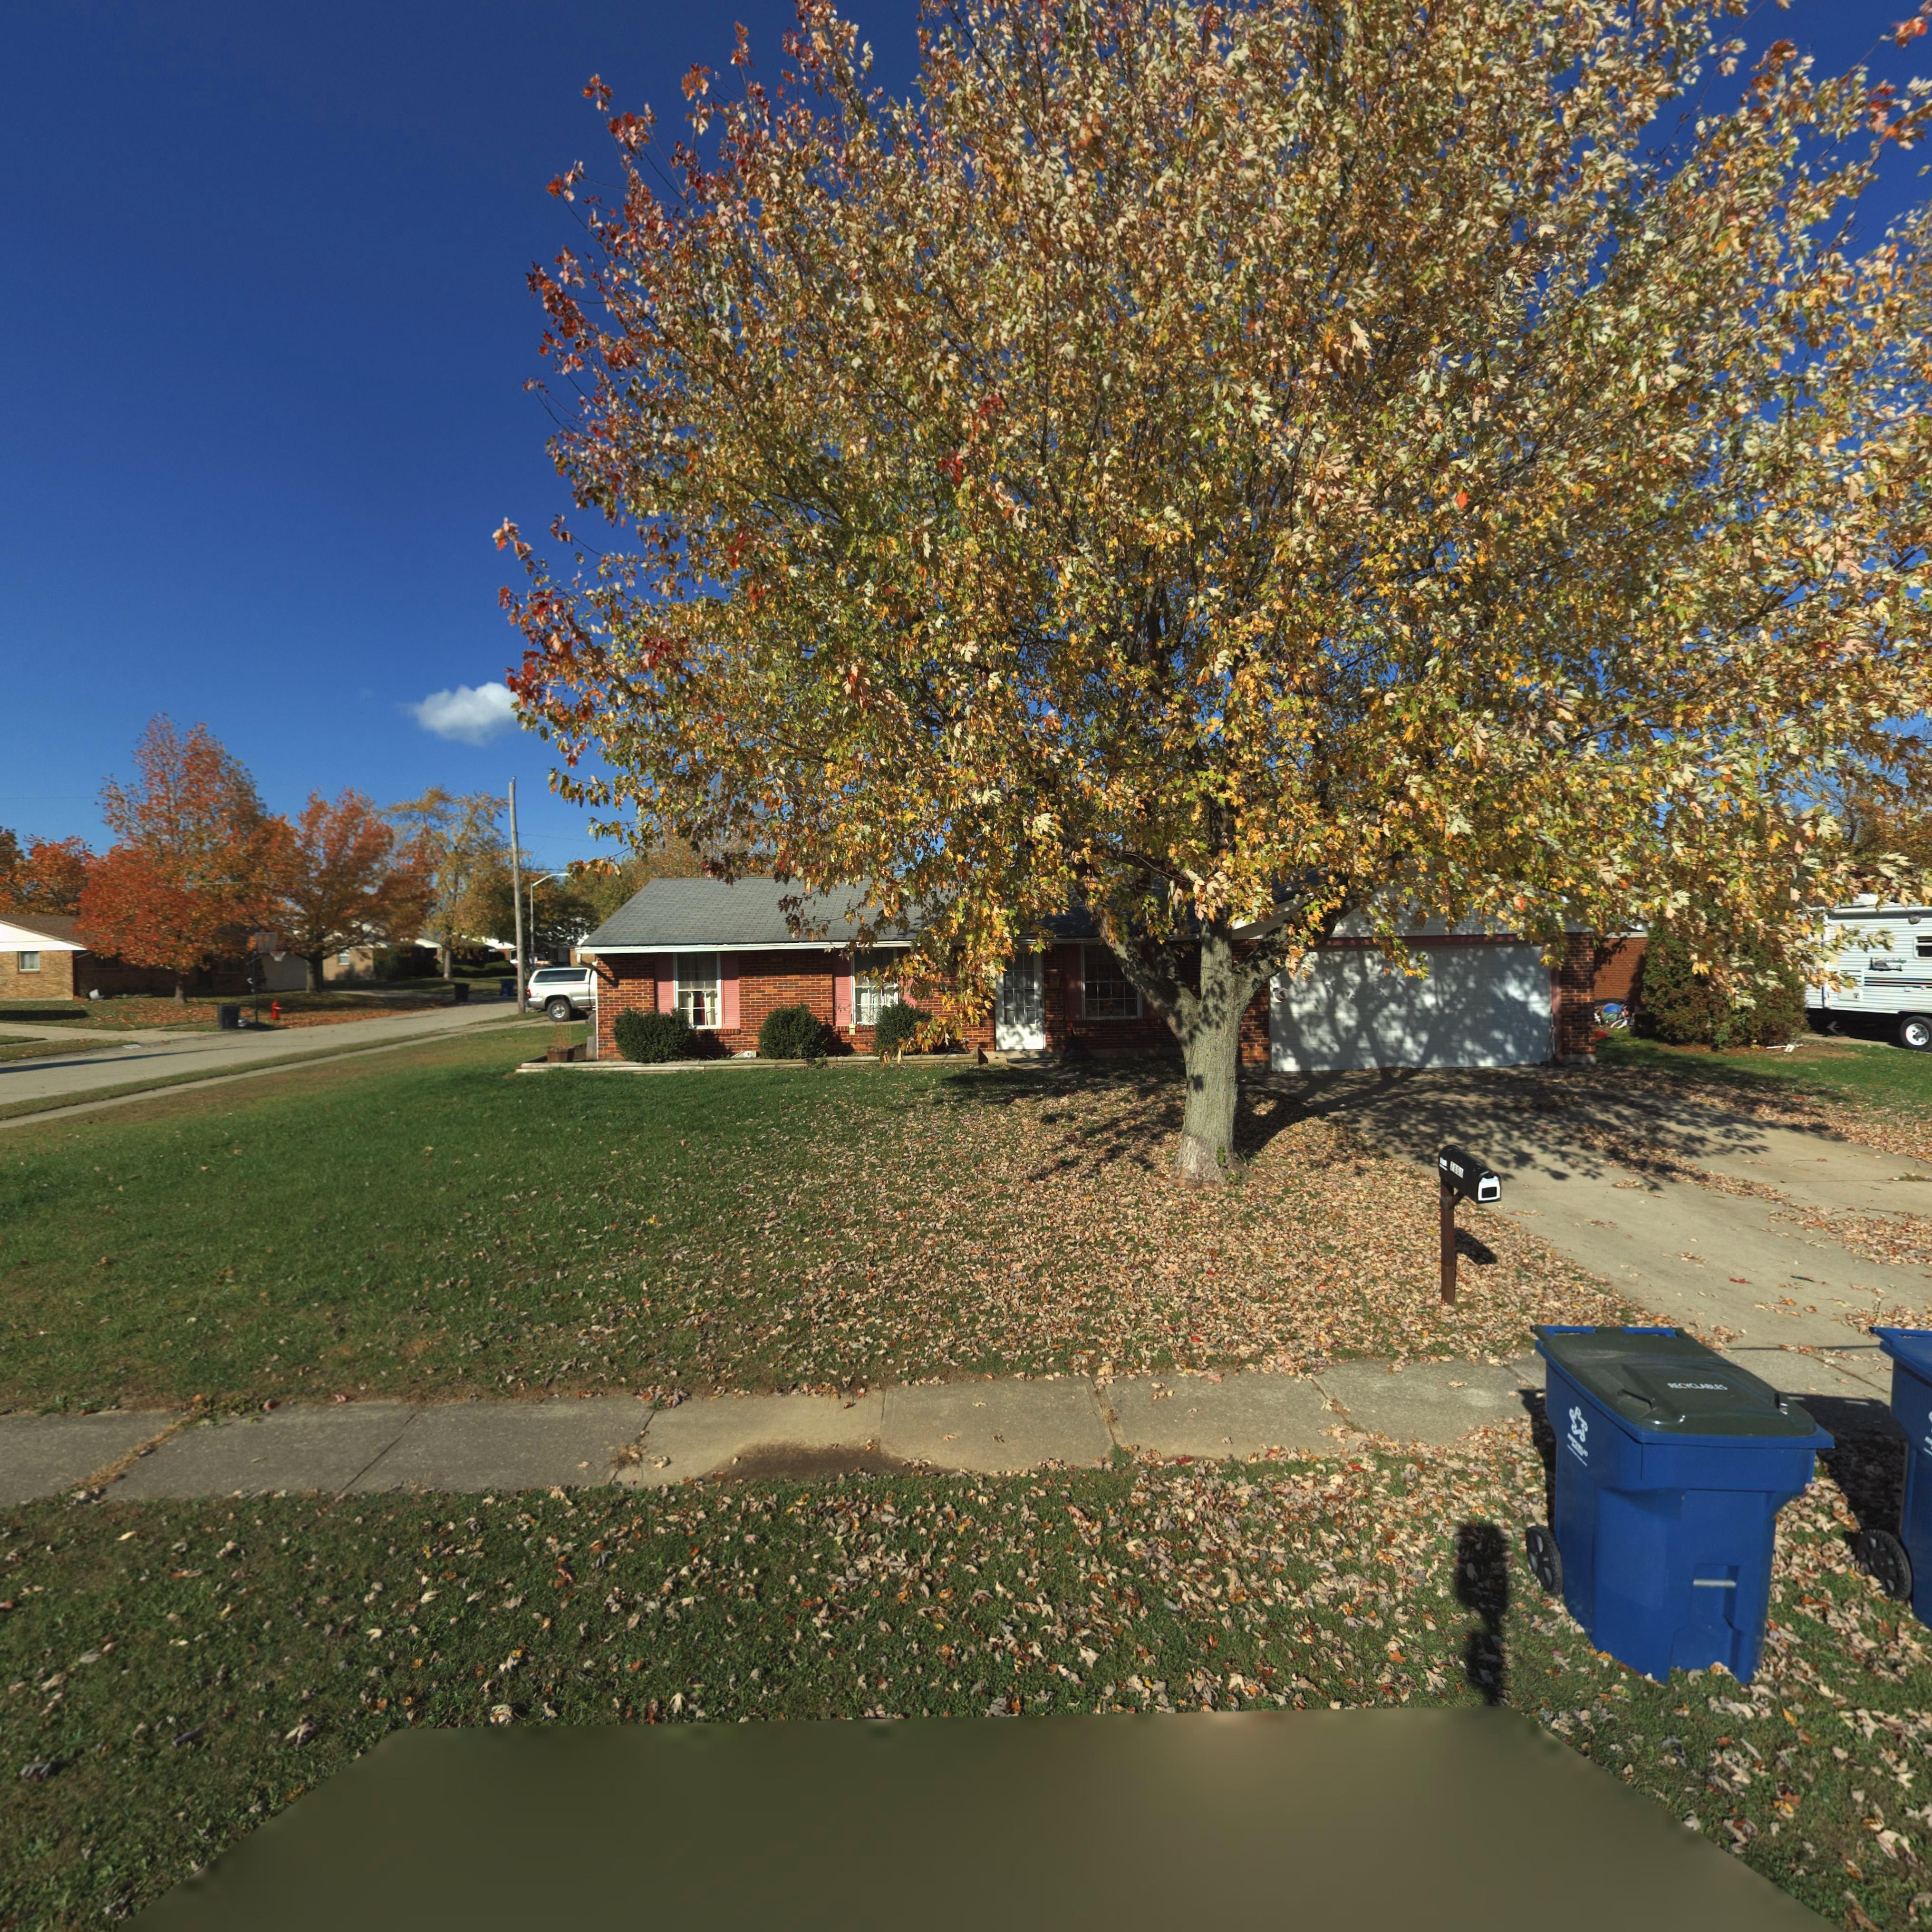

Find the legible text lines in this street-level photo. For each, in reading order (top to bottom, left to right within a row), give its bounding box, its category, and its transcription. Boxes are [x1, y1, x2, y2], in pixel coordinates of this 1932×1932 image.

[1450, 1161, 1463, 1178] StreetNumber: 7801